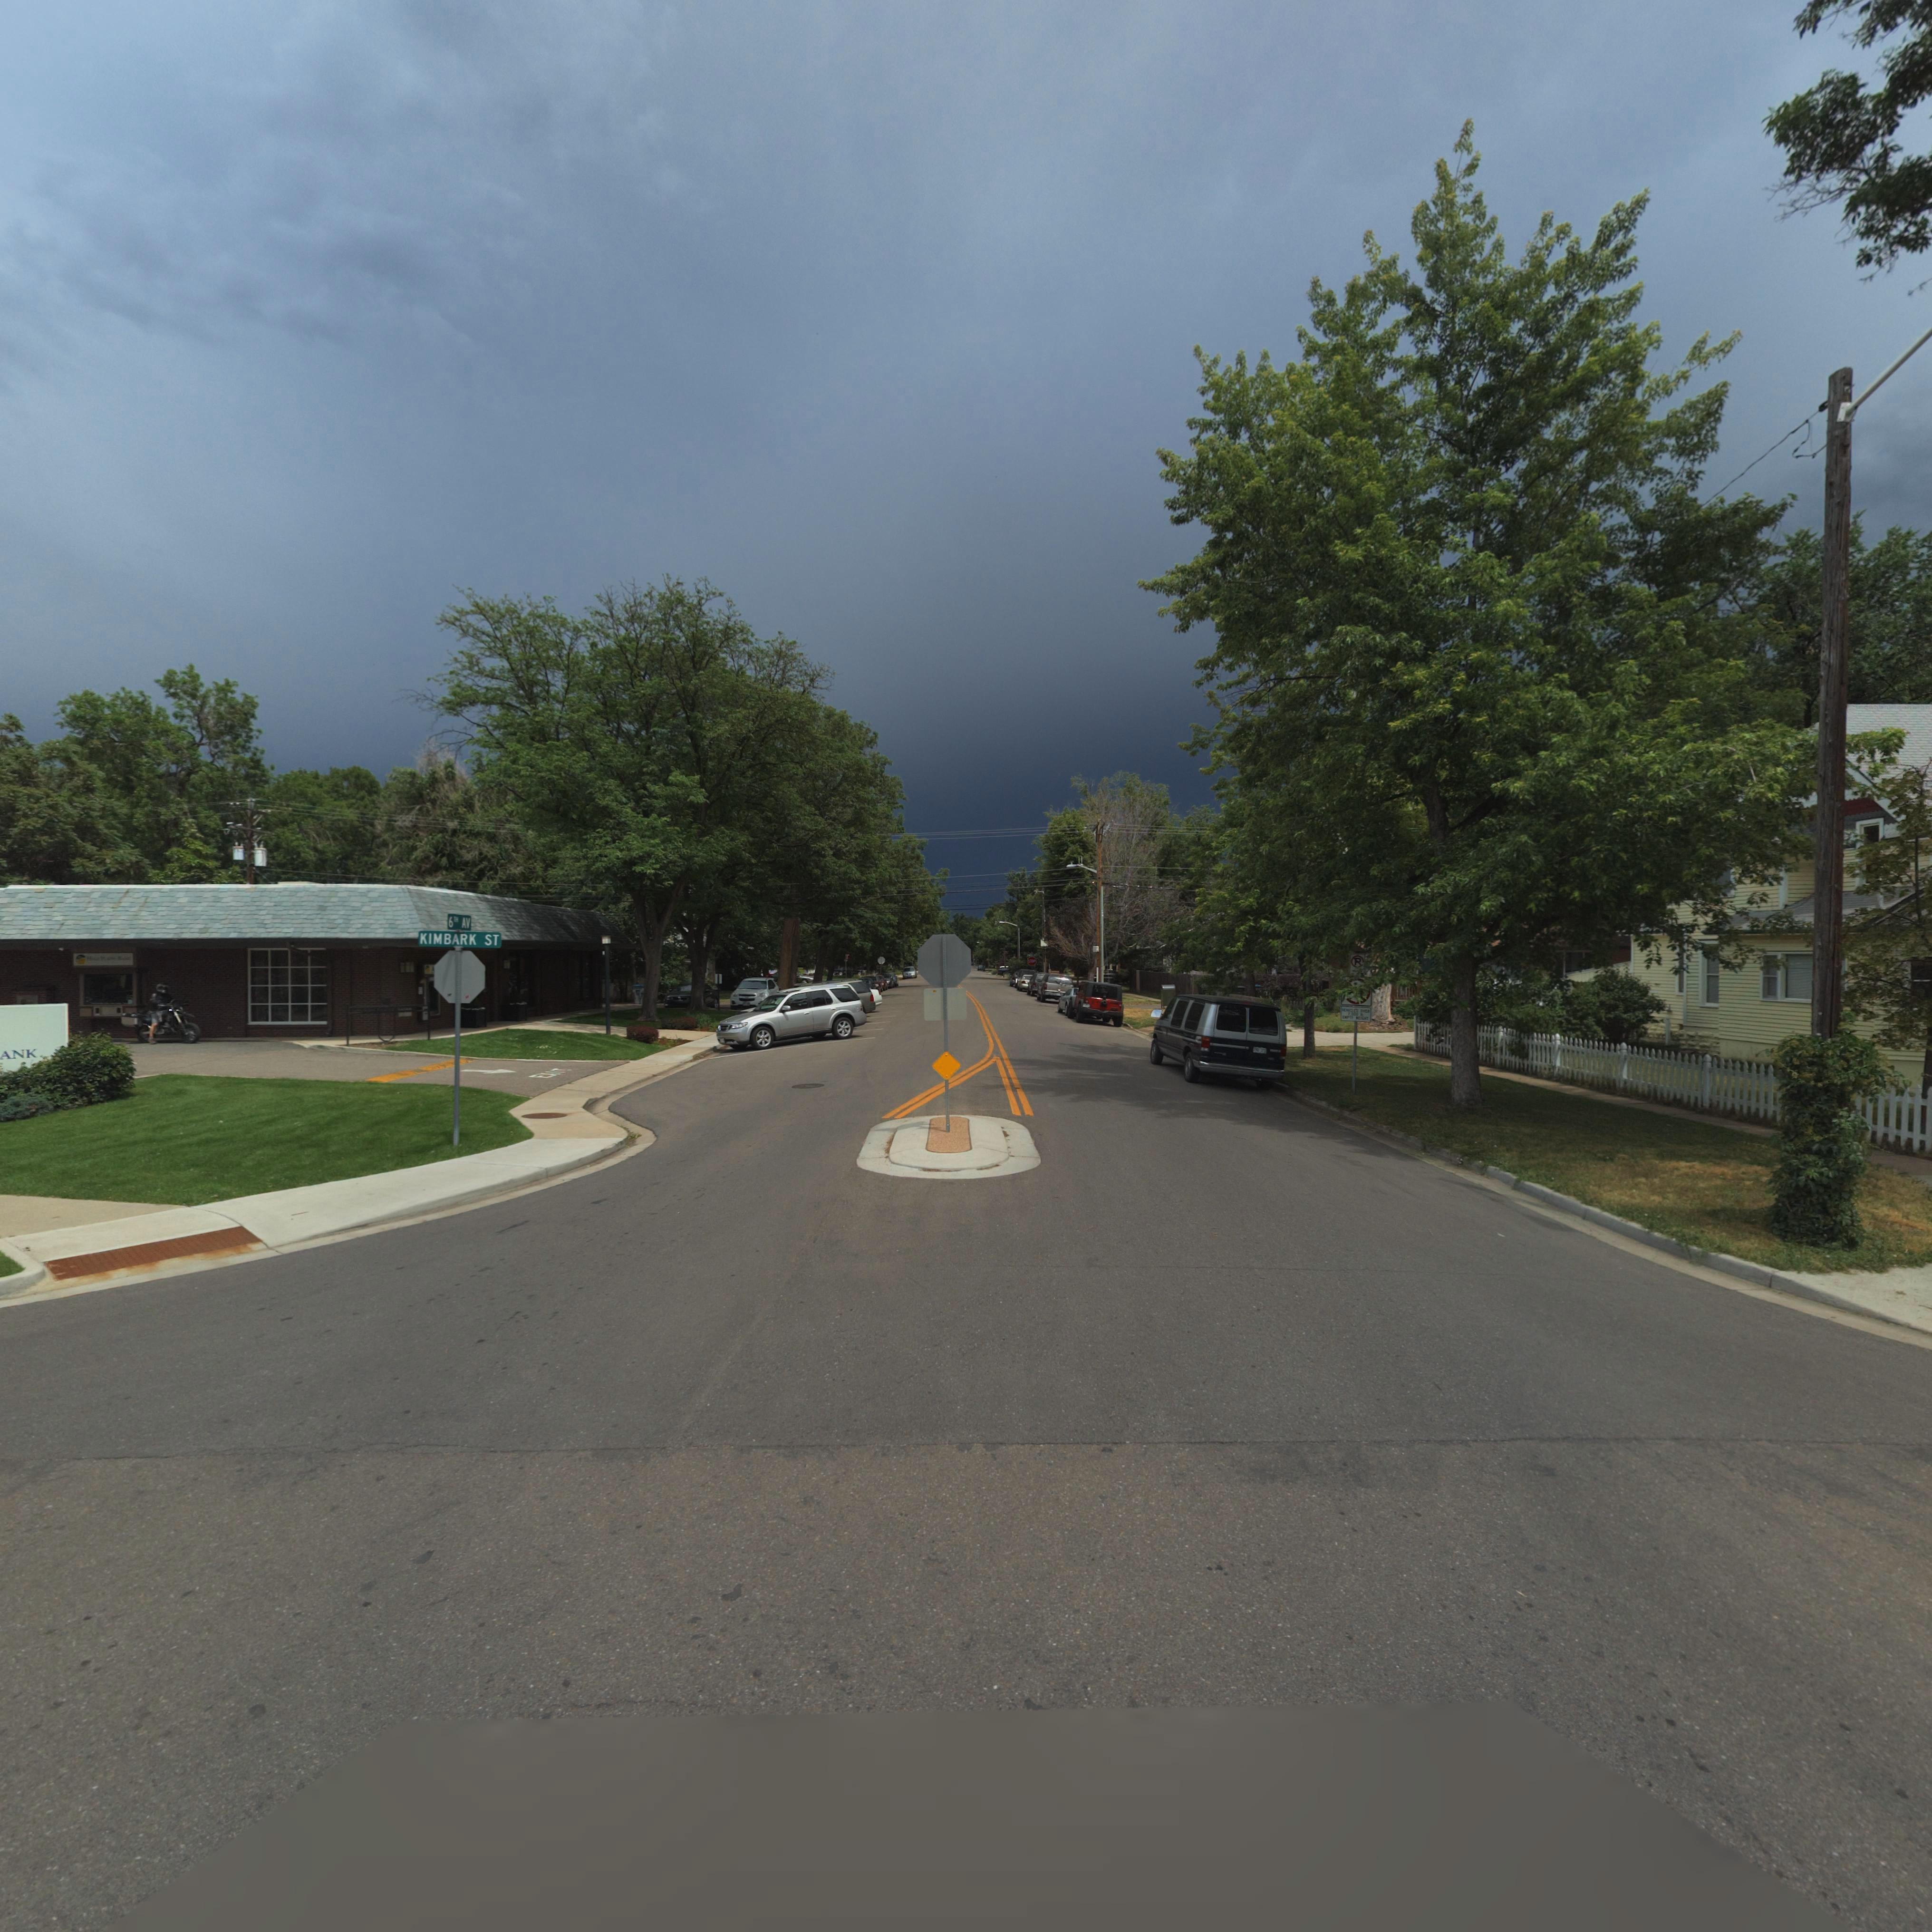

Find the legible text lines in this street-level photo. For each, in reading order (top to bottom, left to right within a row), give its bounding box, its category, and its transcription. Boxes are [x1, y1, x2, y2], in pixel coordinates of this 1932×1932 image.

[448, 916, 471, 928] StreetName: 6TH AV
[420, 933, 500, 946] StreetName: KIMBARK ST
[86, 956, 131, 961] BusinessName: H*** P***** B***
[0, 1047, 38, 1061] BusinessName: ANK